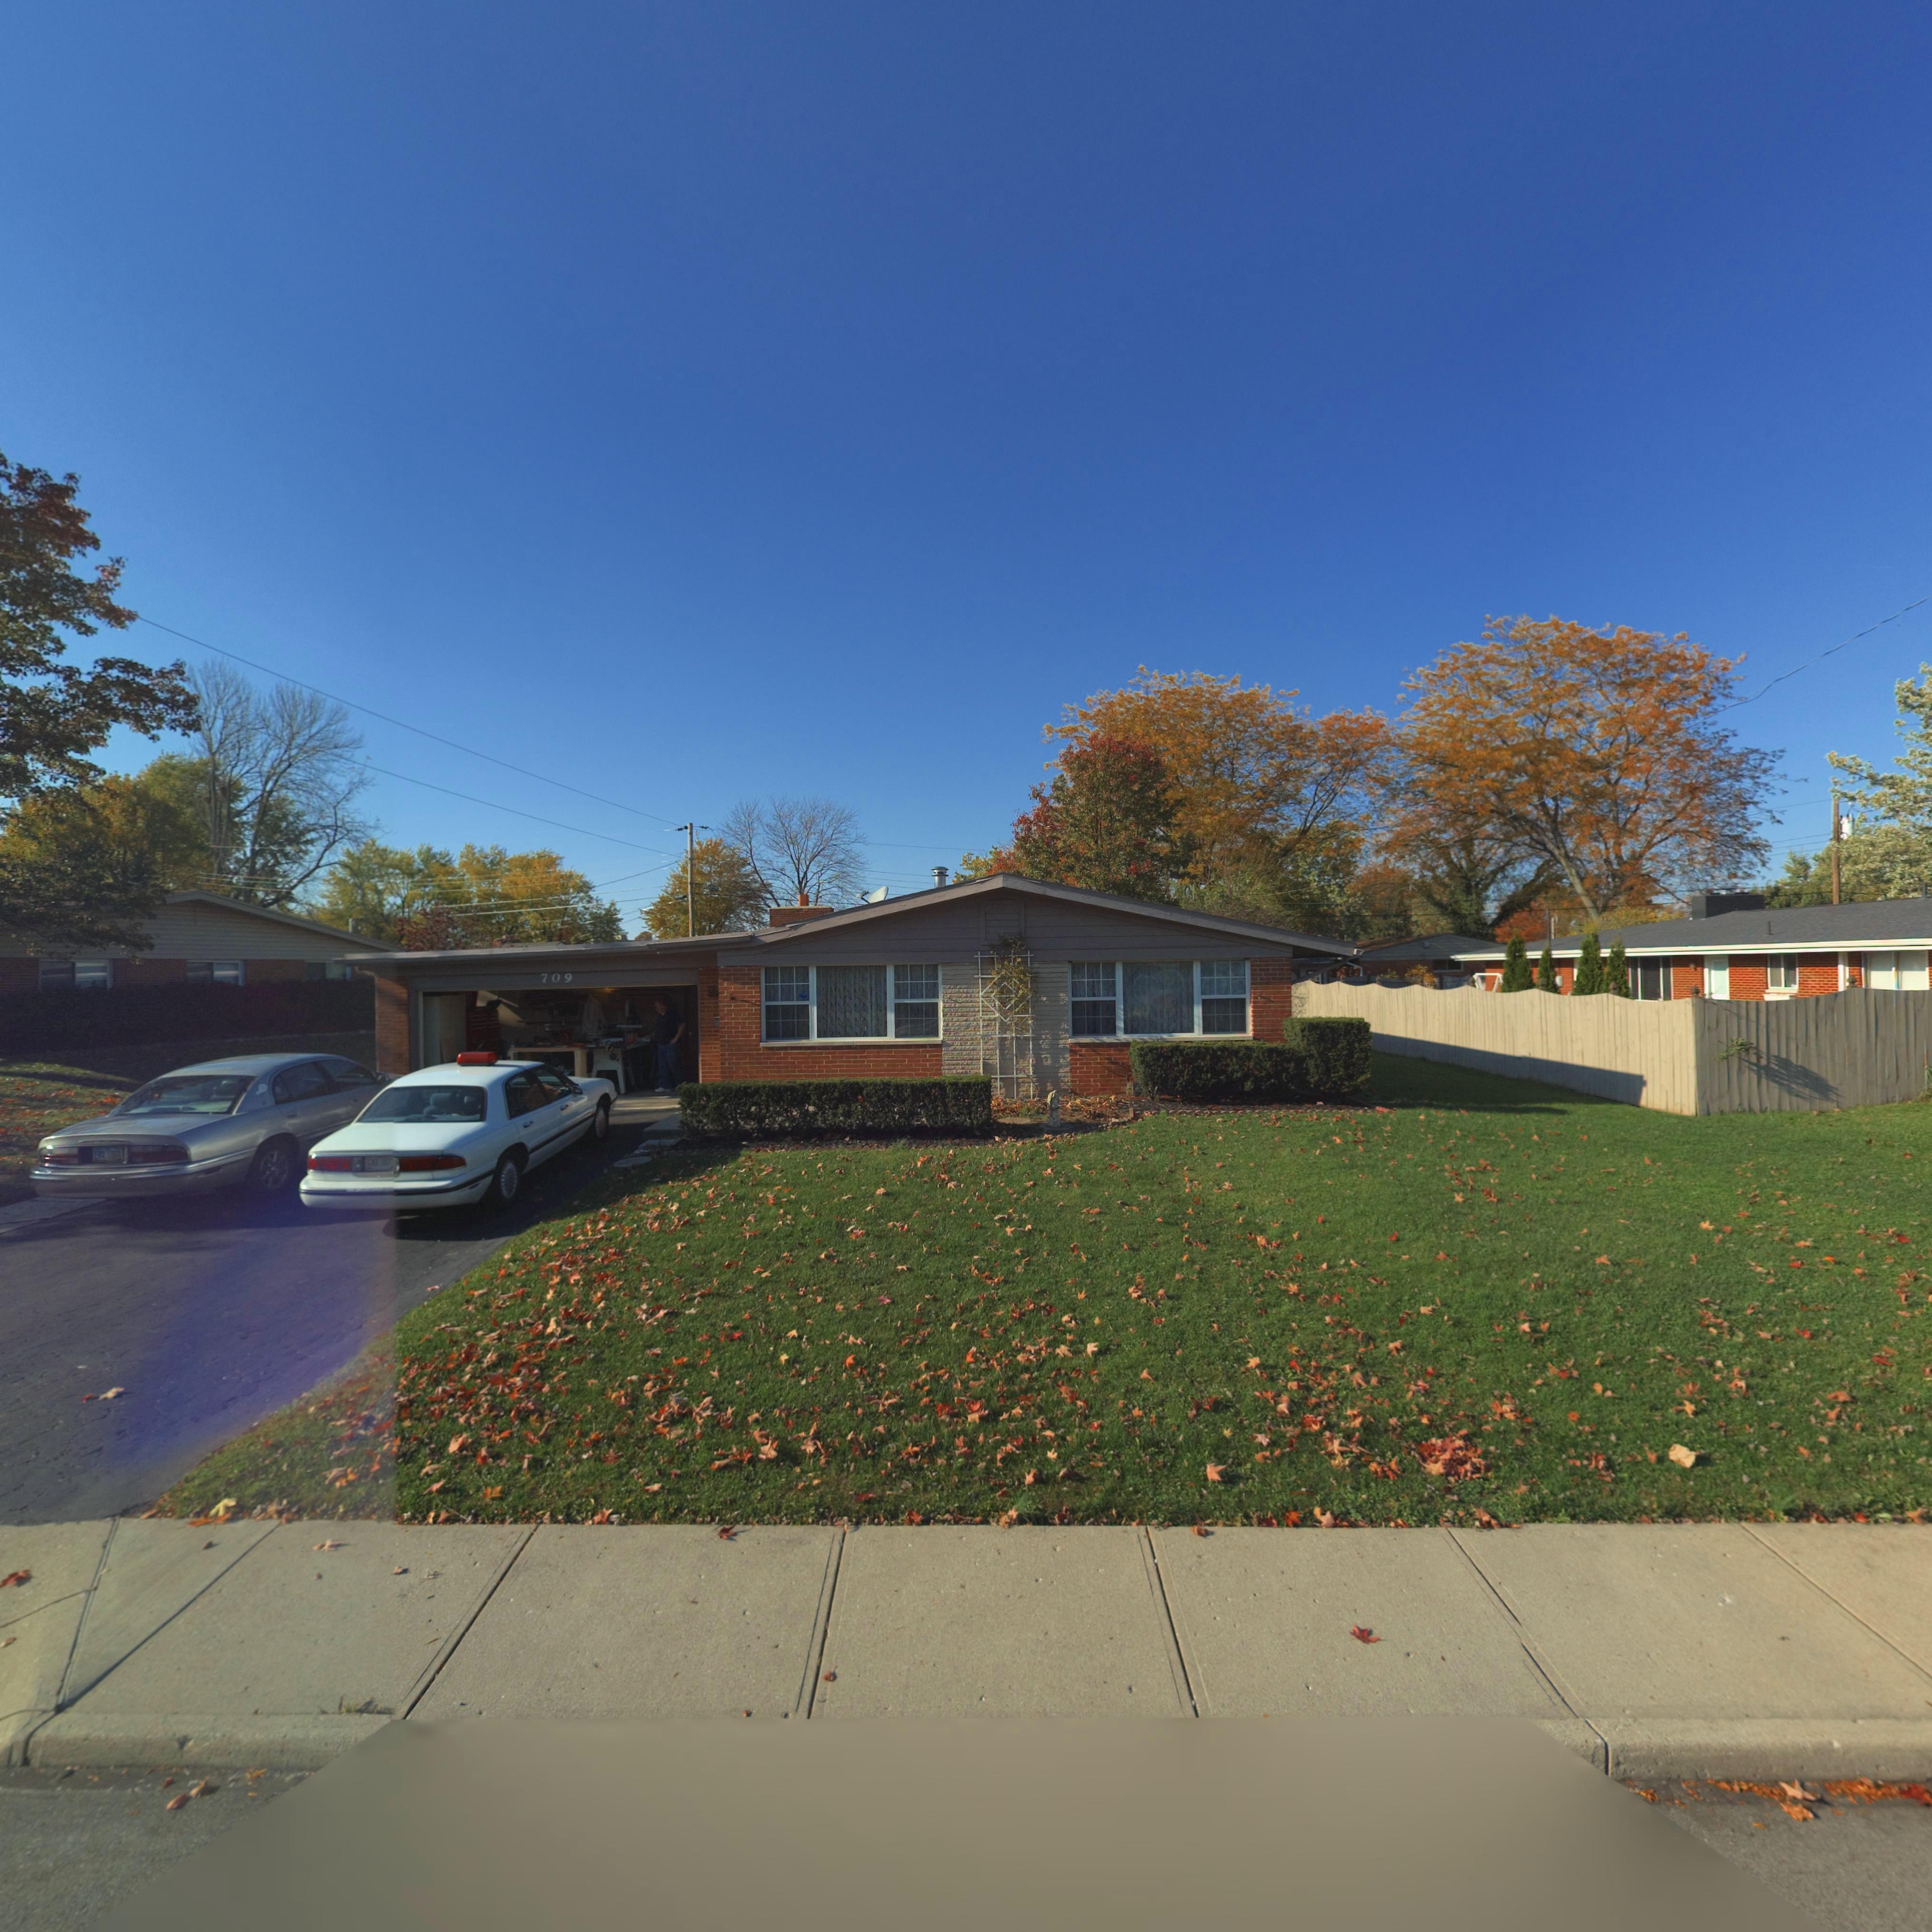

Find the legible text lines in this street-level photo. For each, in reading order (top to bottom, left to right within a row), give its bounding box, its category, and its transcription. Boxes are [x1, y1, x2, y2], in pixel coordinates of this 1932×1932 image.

[540, 973, 573, 983] StreetNumber: 709